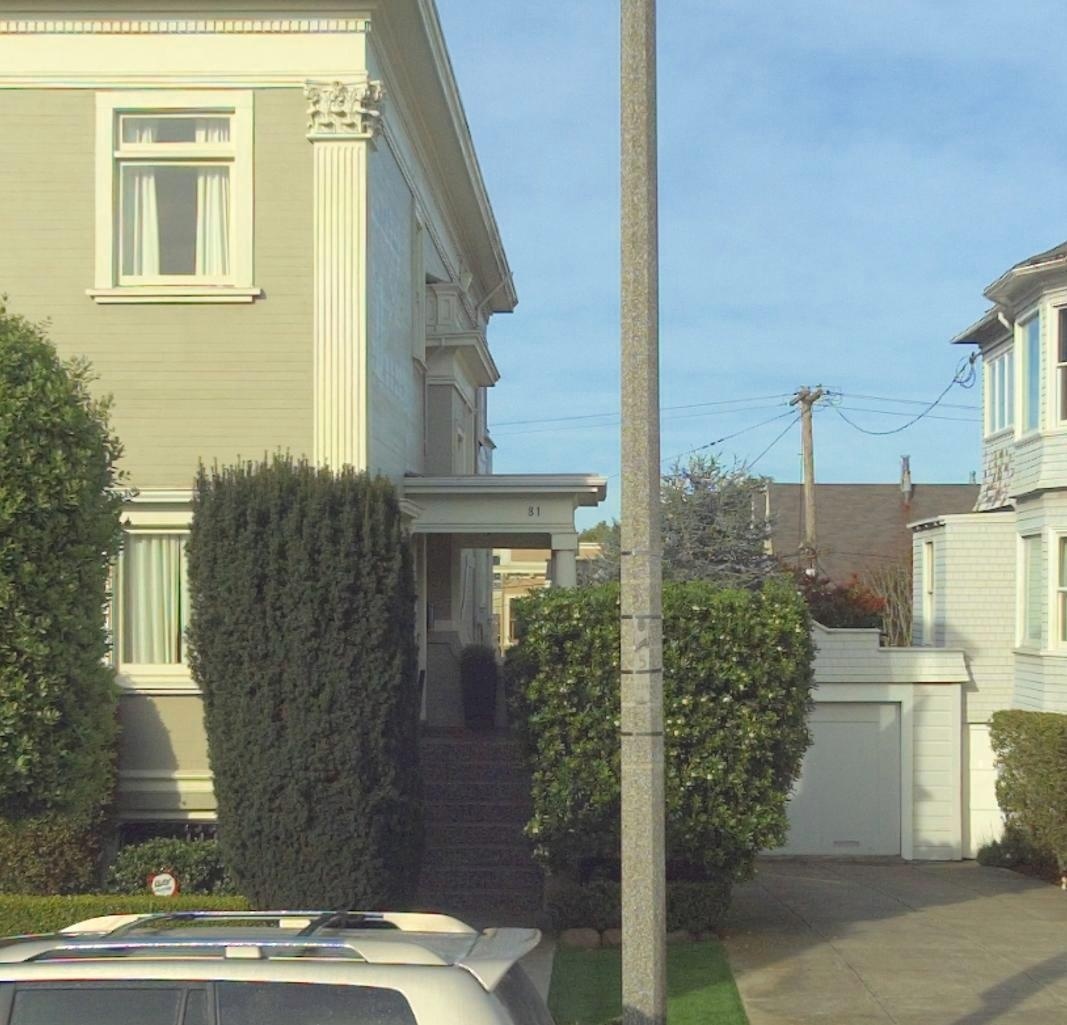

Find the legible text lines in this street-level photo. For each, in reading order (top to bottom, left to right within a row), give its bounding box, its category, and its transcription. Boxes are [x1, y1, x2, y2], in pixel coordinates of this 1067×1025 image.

[526, 504, 542, 519] StreetNumber: 81